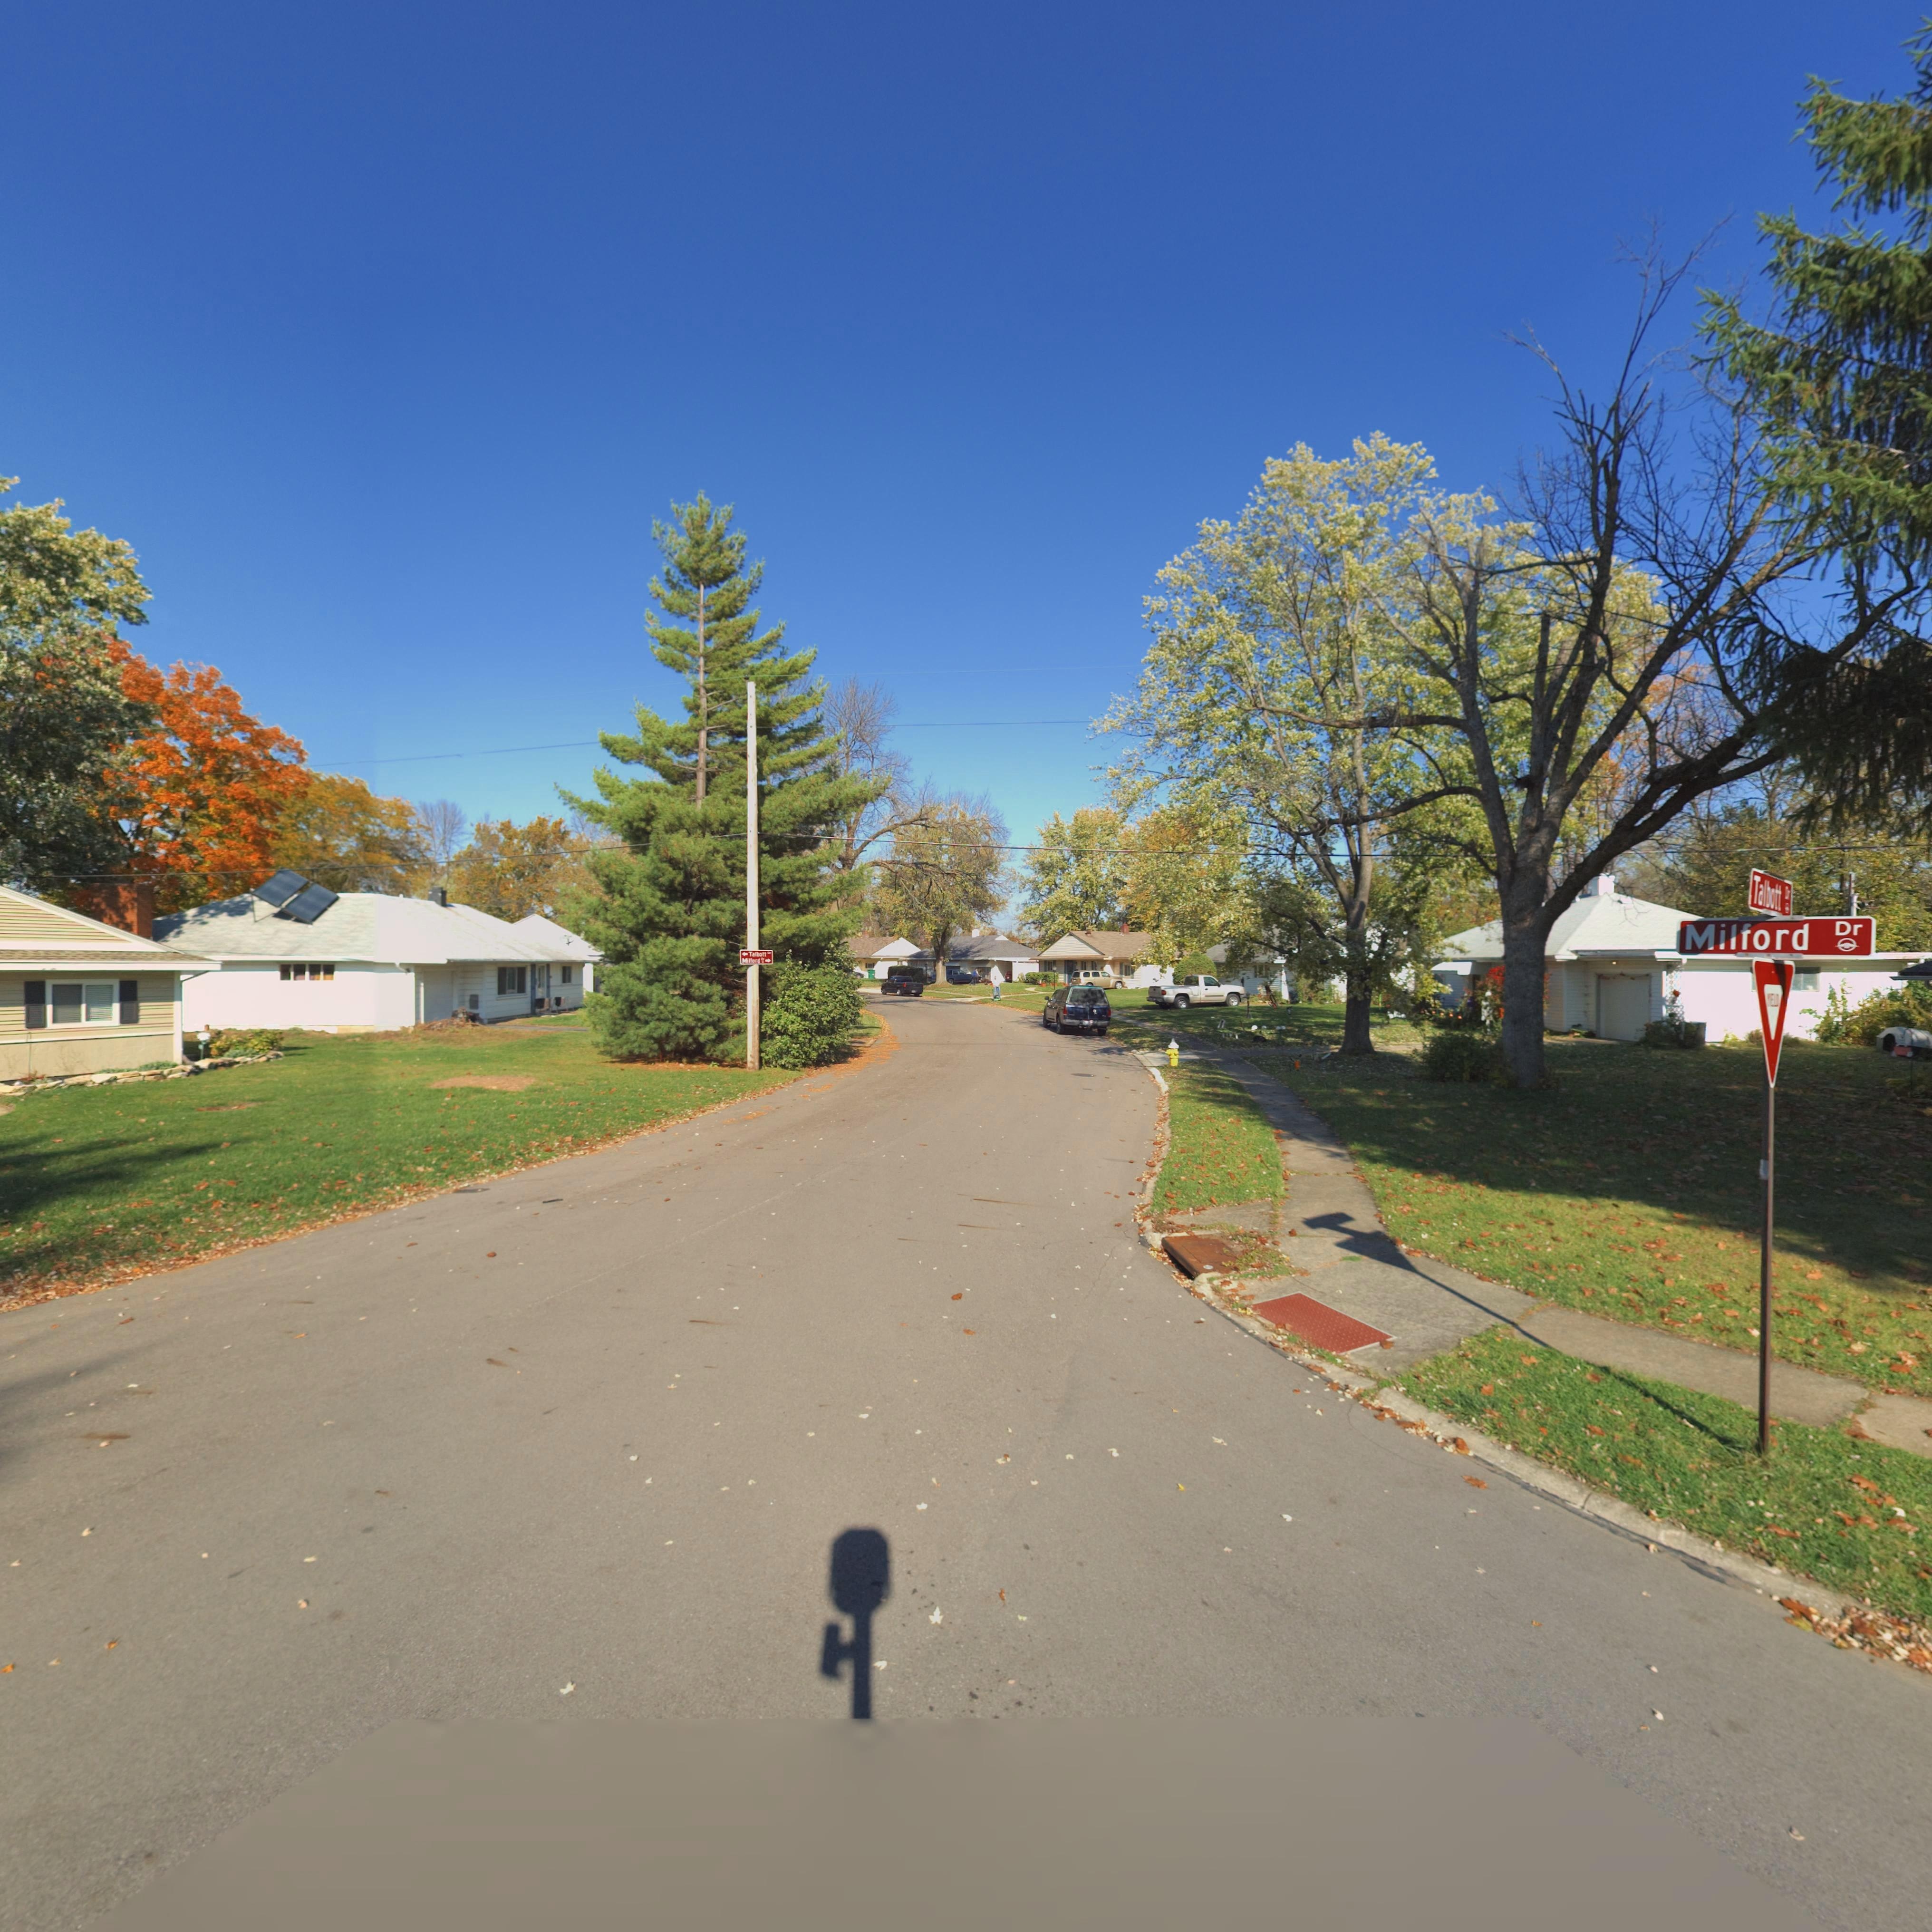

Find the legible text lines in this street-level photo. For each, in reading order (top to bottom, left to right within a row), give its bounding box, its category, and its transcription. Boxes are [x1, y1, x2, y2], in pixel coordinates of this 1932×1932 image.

[1751, 872, 1792, 914] StreetName: Talbott Dr
[1682, 918, 1866, 953] StreetName: Milford Dr
[741, 956, 762, 964] StreetName: Milford
[747, 951, 768, 957] StreetName: Talbott